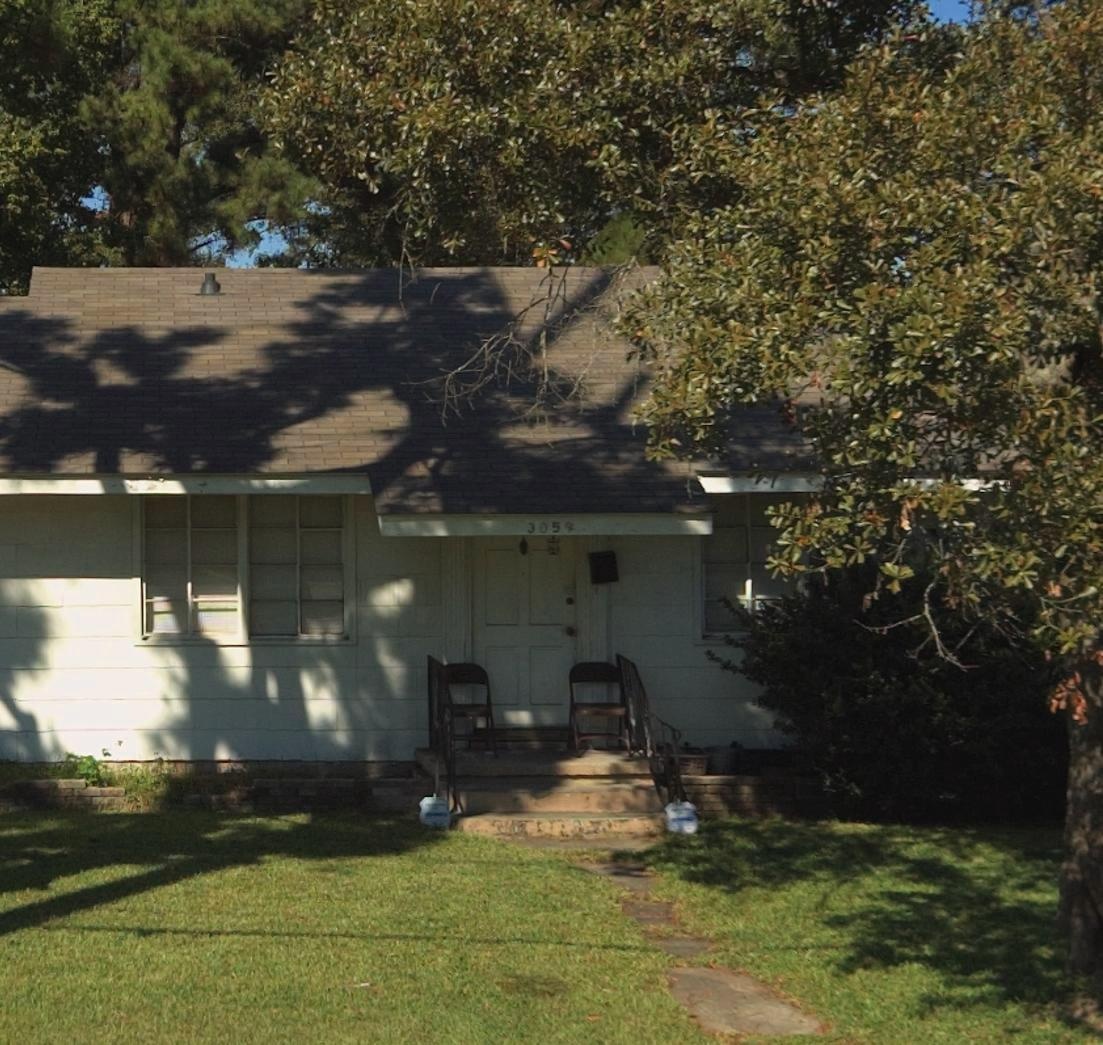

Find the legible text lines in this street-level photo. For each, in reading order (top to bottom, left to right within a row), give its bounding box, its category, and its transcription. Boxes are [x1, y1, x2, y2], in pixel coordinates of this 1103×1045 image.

[525, 520, 575, 535] StreetNumber: 3059